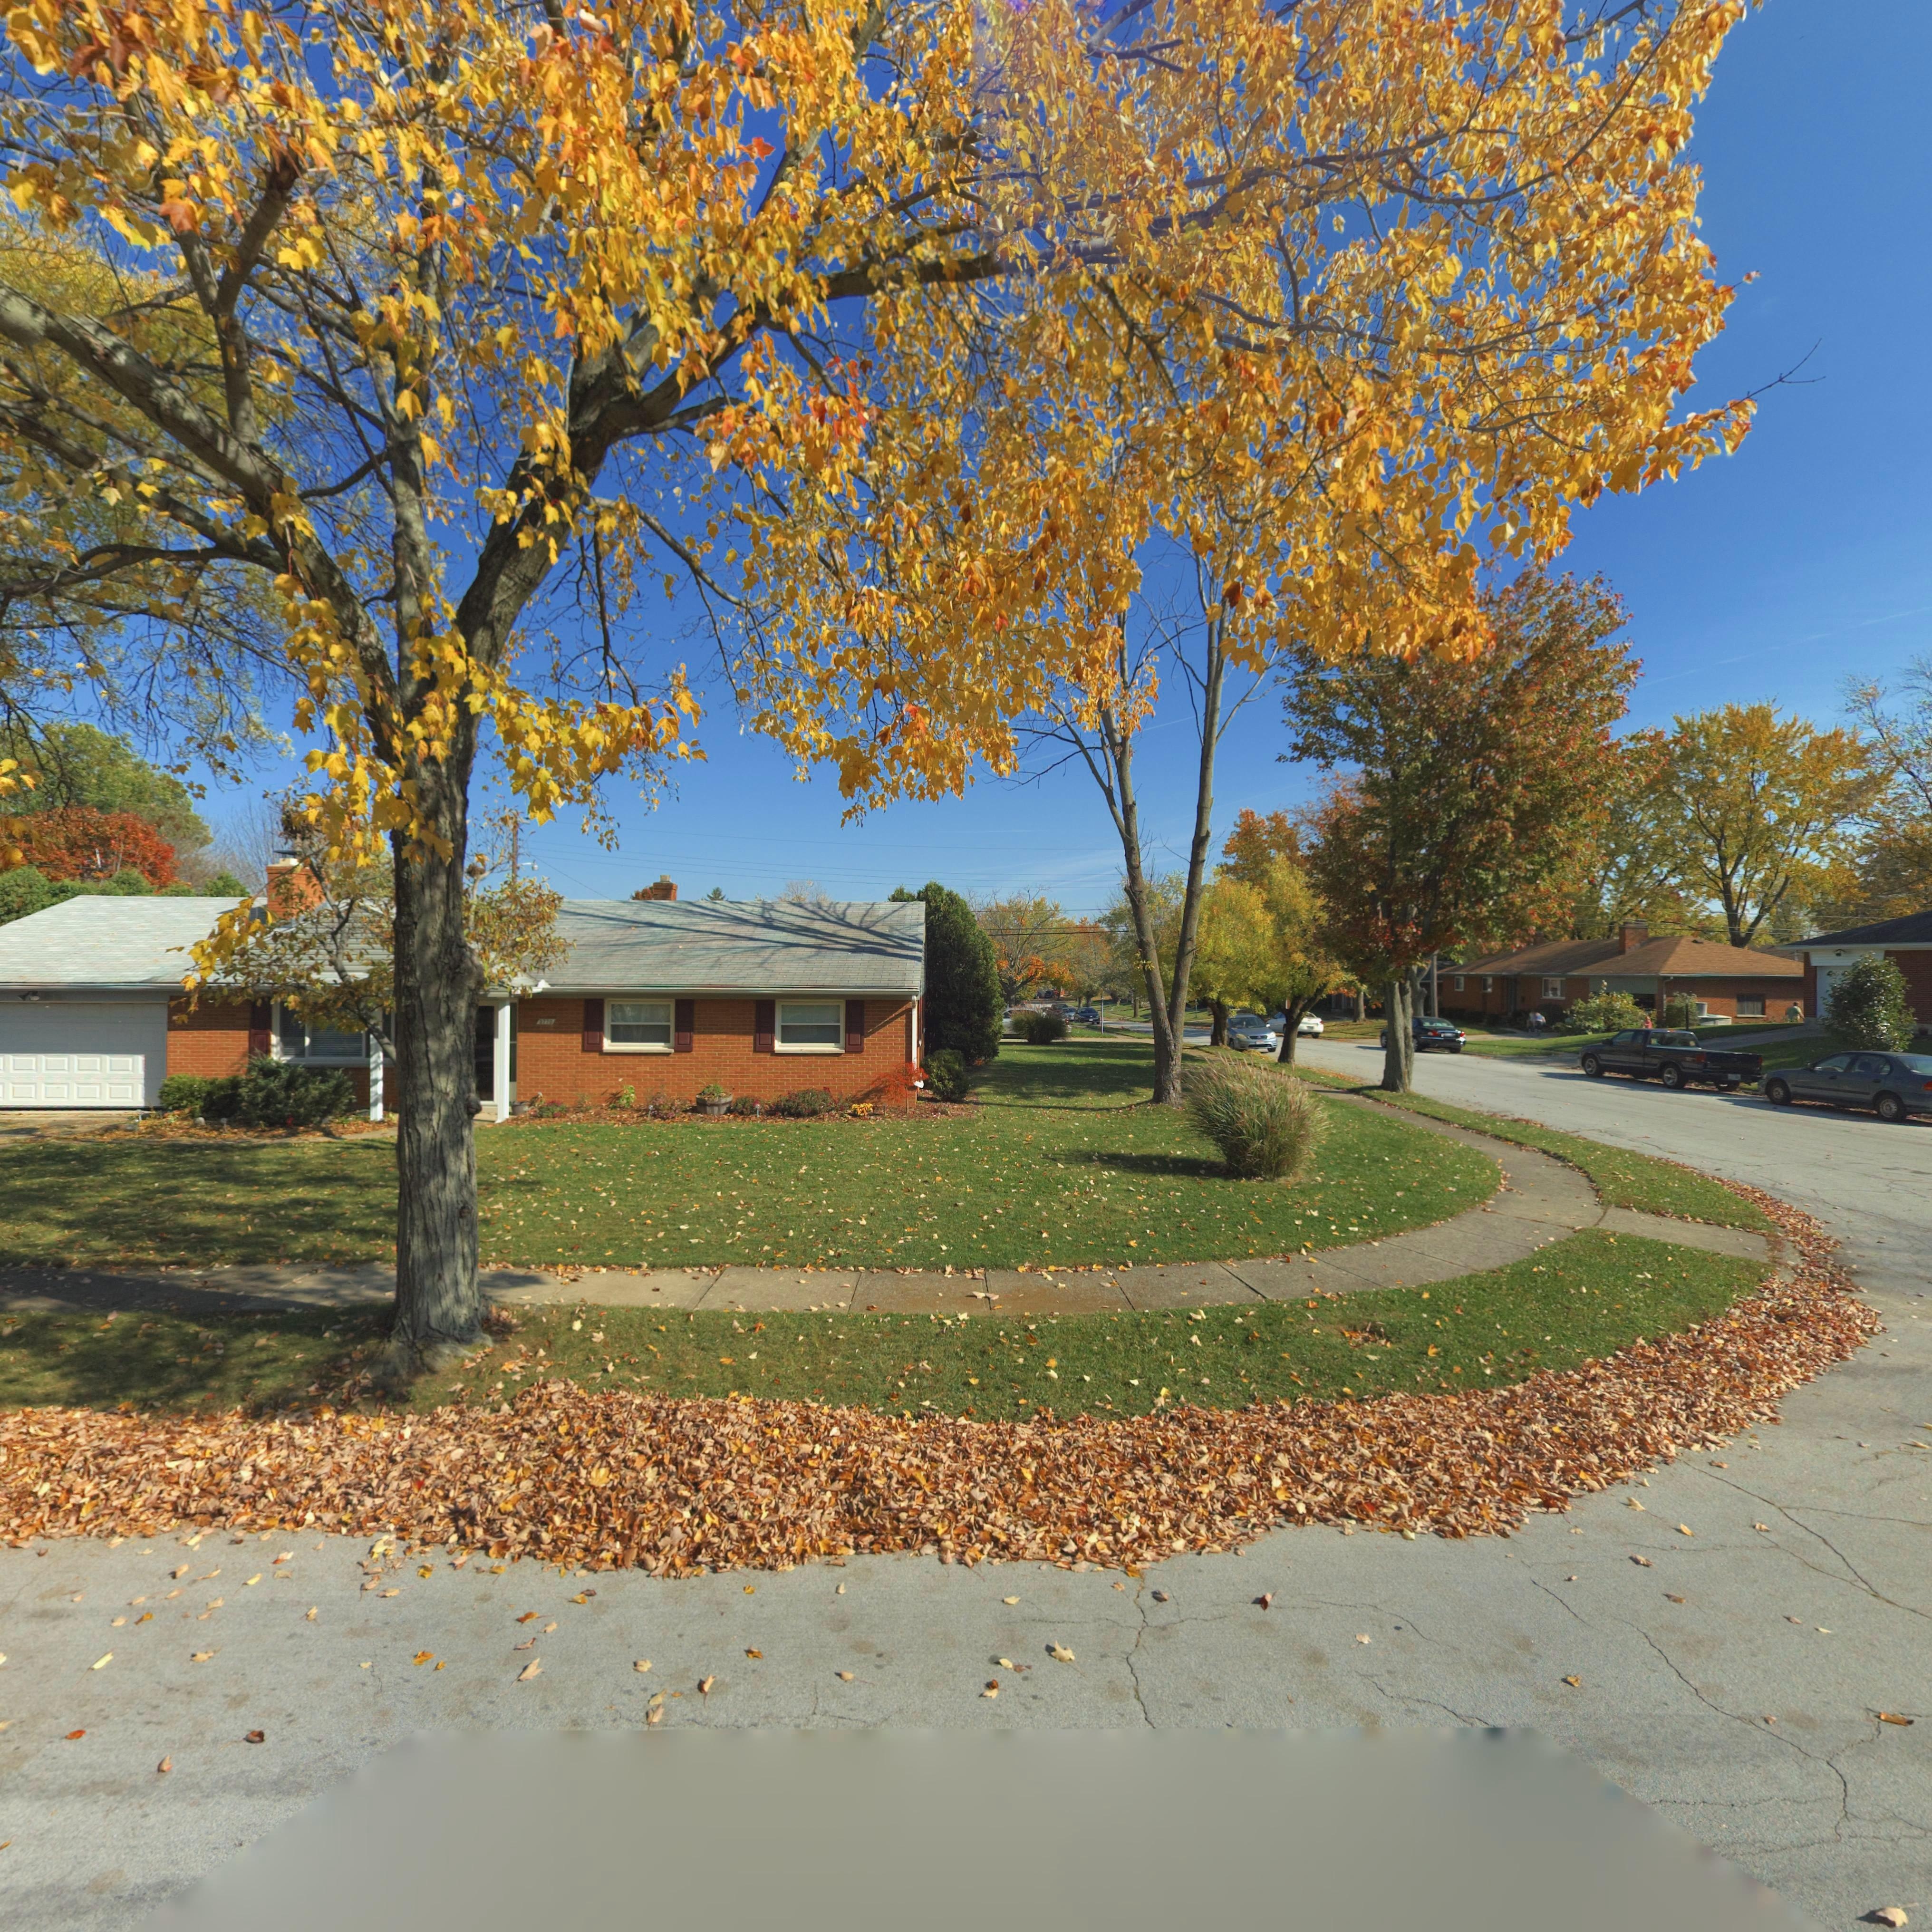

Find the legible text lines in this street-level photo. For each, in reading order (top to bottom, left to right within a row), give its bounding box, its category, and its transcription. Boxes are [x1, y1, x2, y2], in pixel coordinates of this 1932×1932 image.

[537, 1019, 552, 1025] StreetNumber: 3770